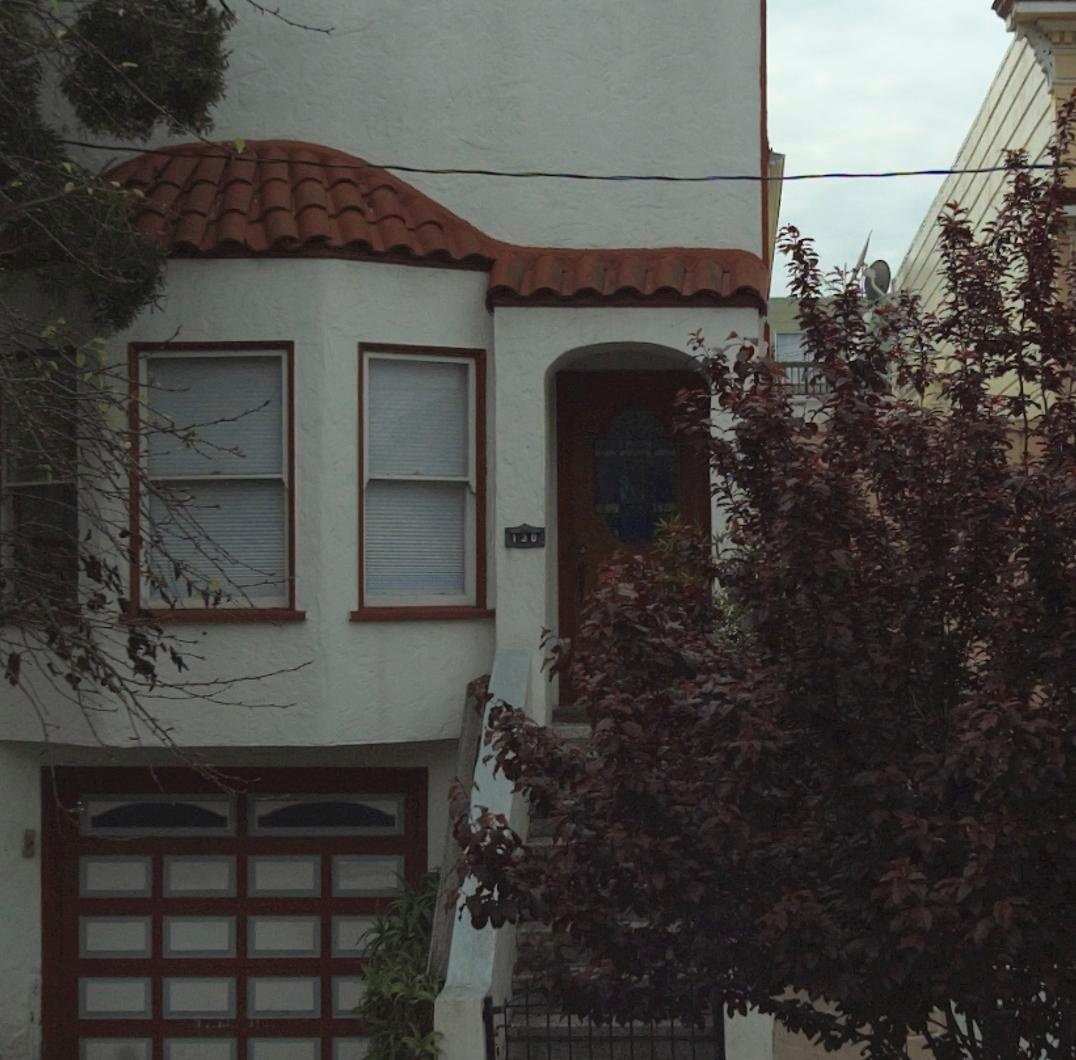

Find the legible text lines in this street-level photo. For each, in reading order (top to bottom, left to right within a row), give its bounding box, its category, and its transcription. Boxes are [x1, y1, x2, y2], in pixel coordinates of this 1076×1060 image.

[510, 532, 539, 544] StreetNumber: 130